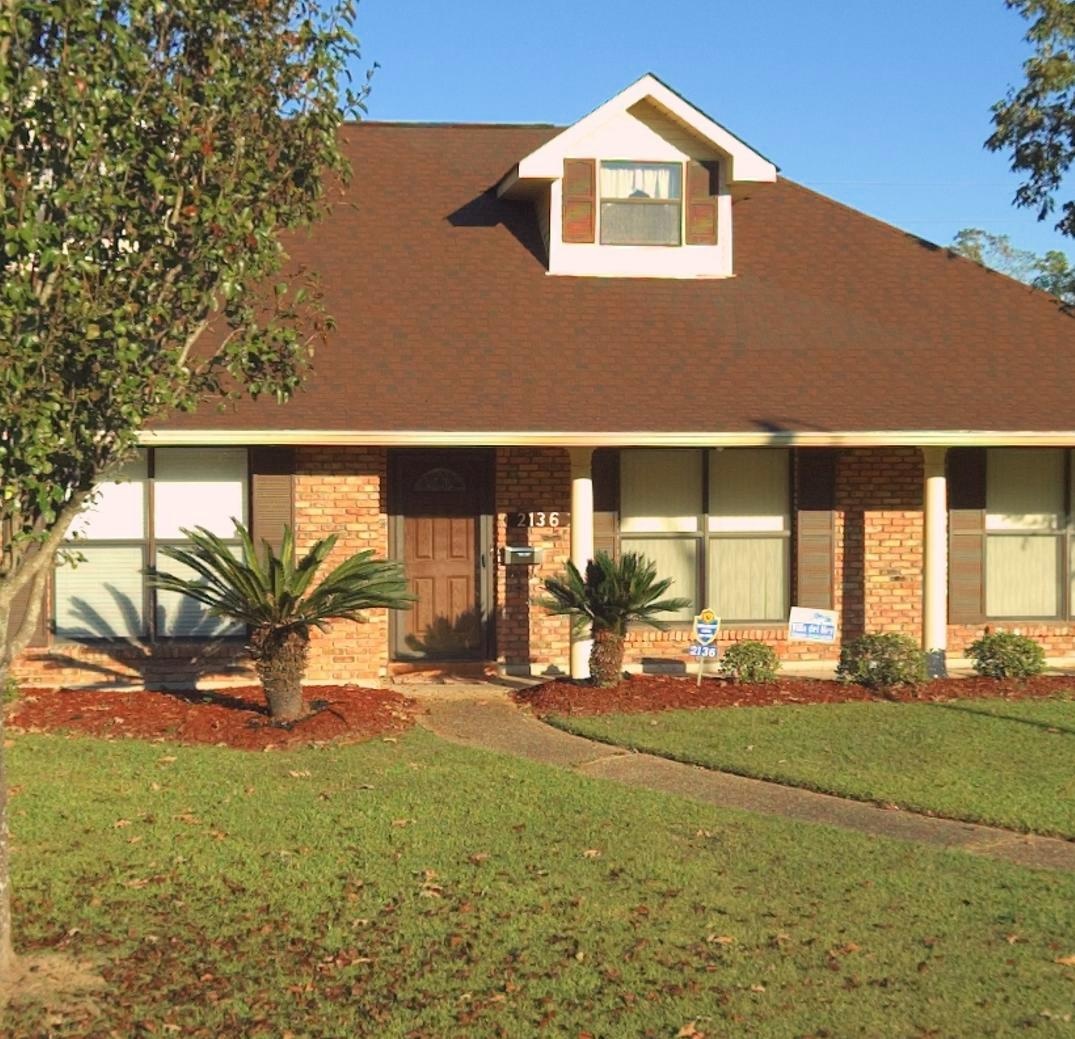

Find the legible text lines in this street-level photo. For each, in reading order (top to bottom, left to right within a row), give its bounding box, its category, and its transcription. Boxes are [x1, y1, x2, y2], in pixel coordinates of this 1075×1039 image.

[515, 510, 561, 528] StreetNumber: 2136
[688, 644, 718, 659] StreetNumber: 2136